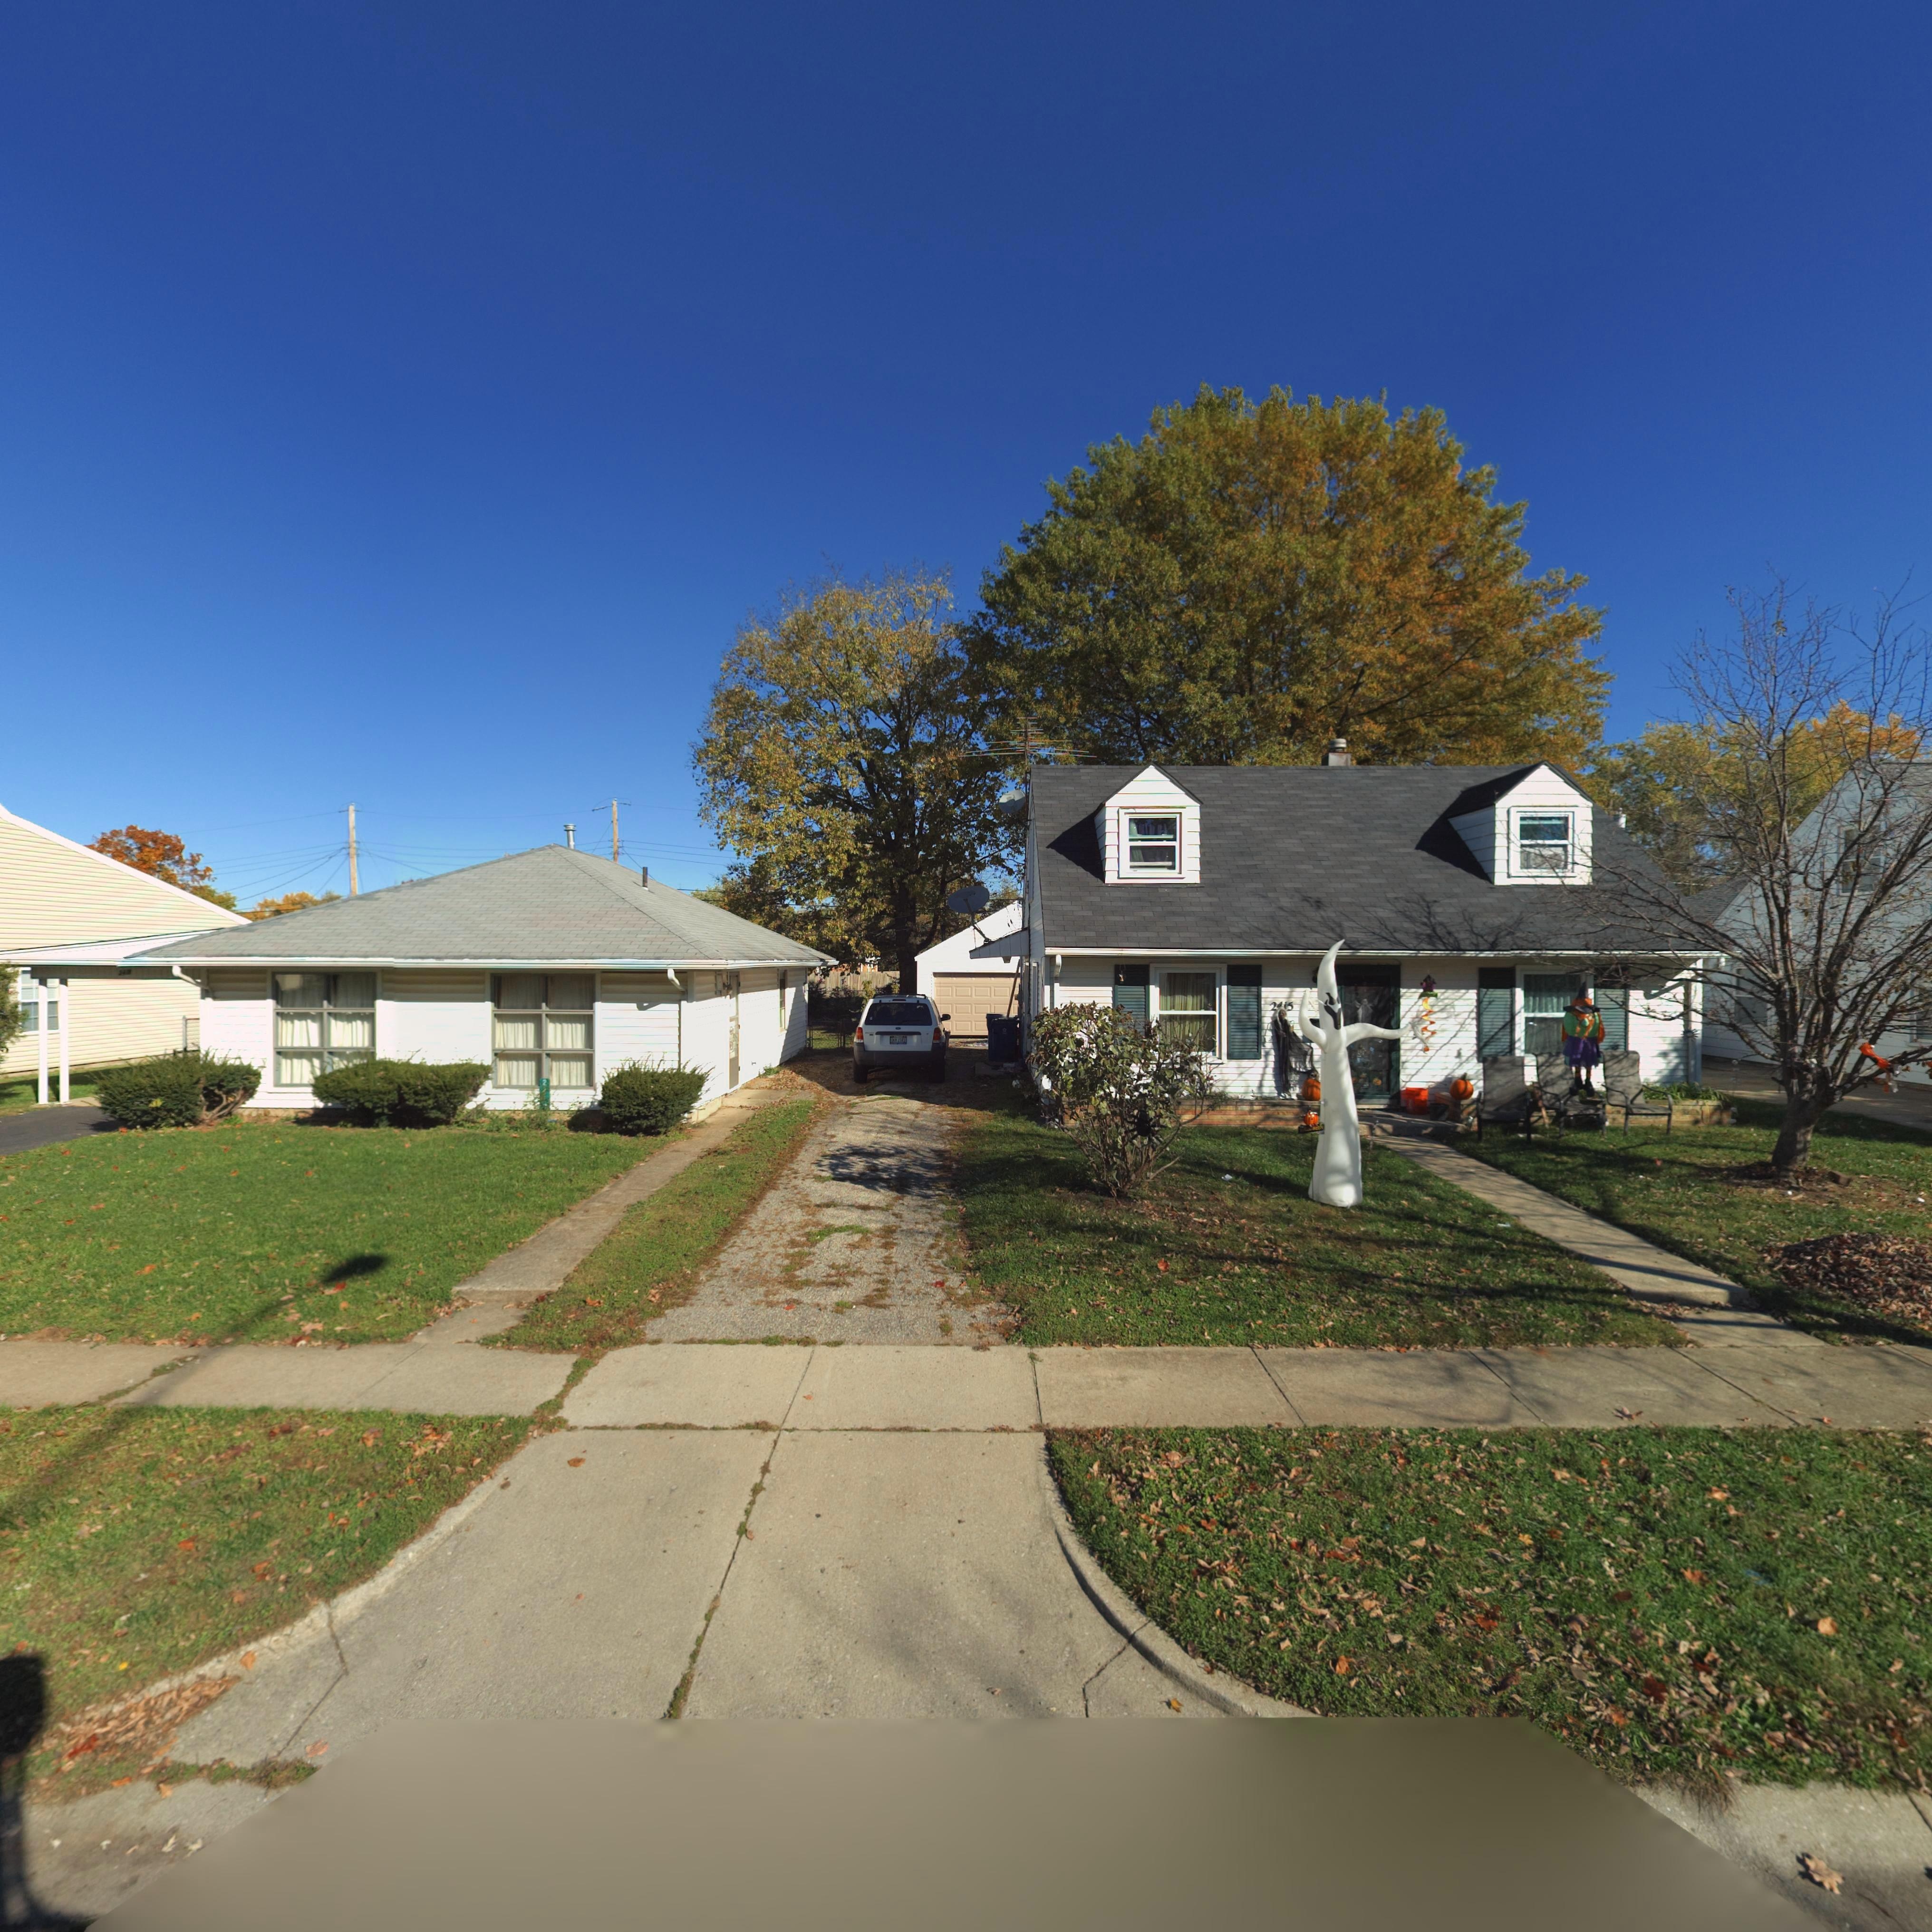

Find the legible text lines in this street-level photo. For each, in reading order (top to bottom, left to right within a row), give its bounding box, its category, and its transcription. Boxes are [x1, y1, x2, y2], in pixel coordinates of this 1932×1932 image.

[1268, 1001, 1295, 1012] StreetNumber: 2*15
[541, 1078, 548, 1087] StreetNumber: 2